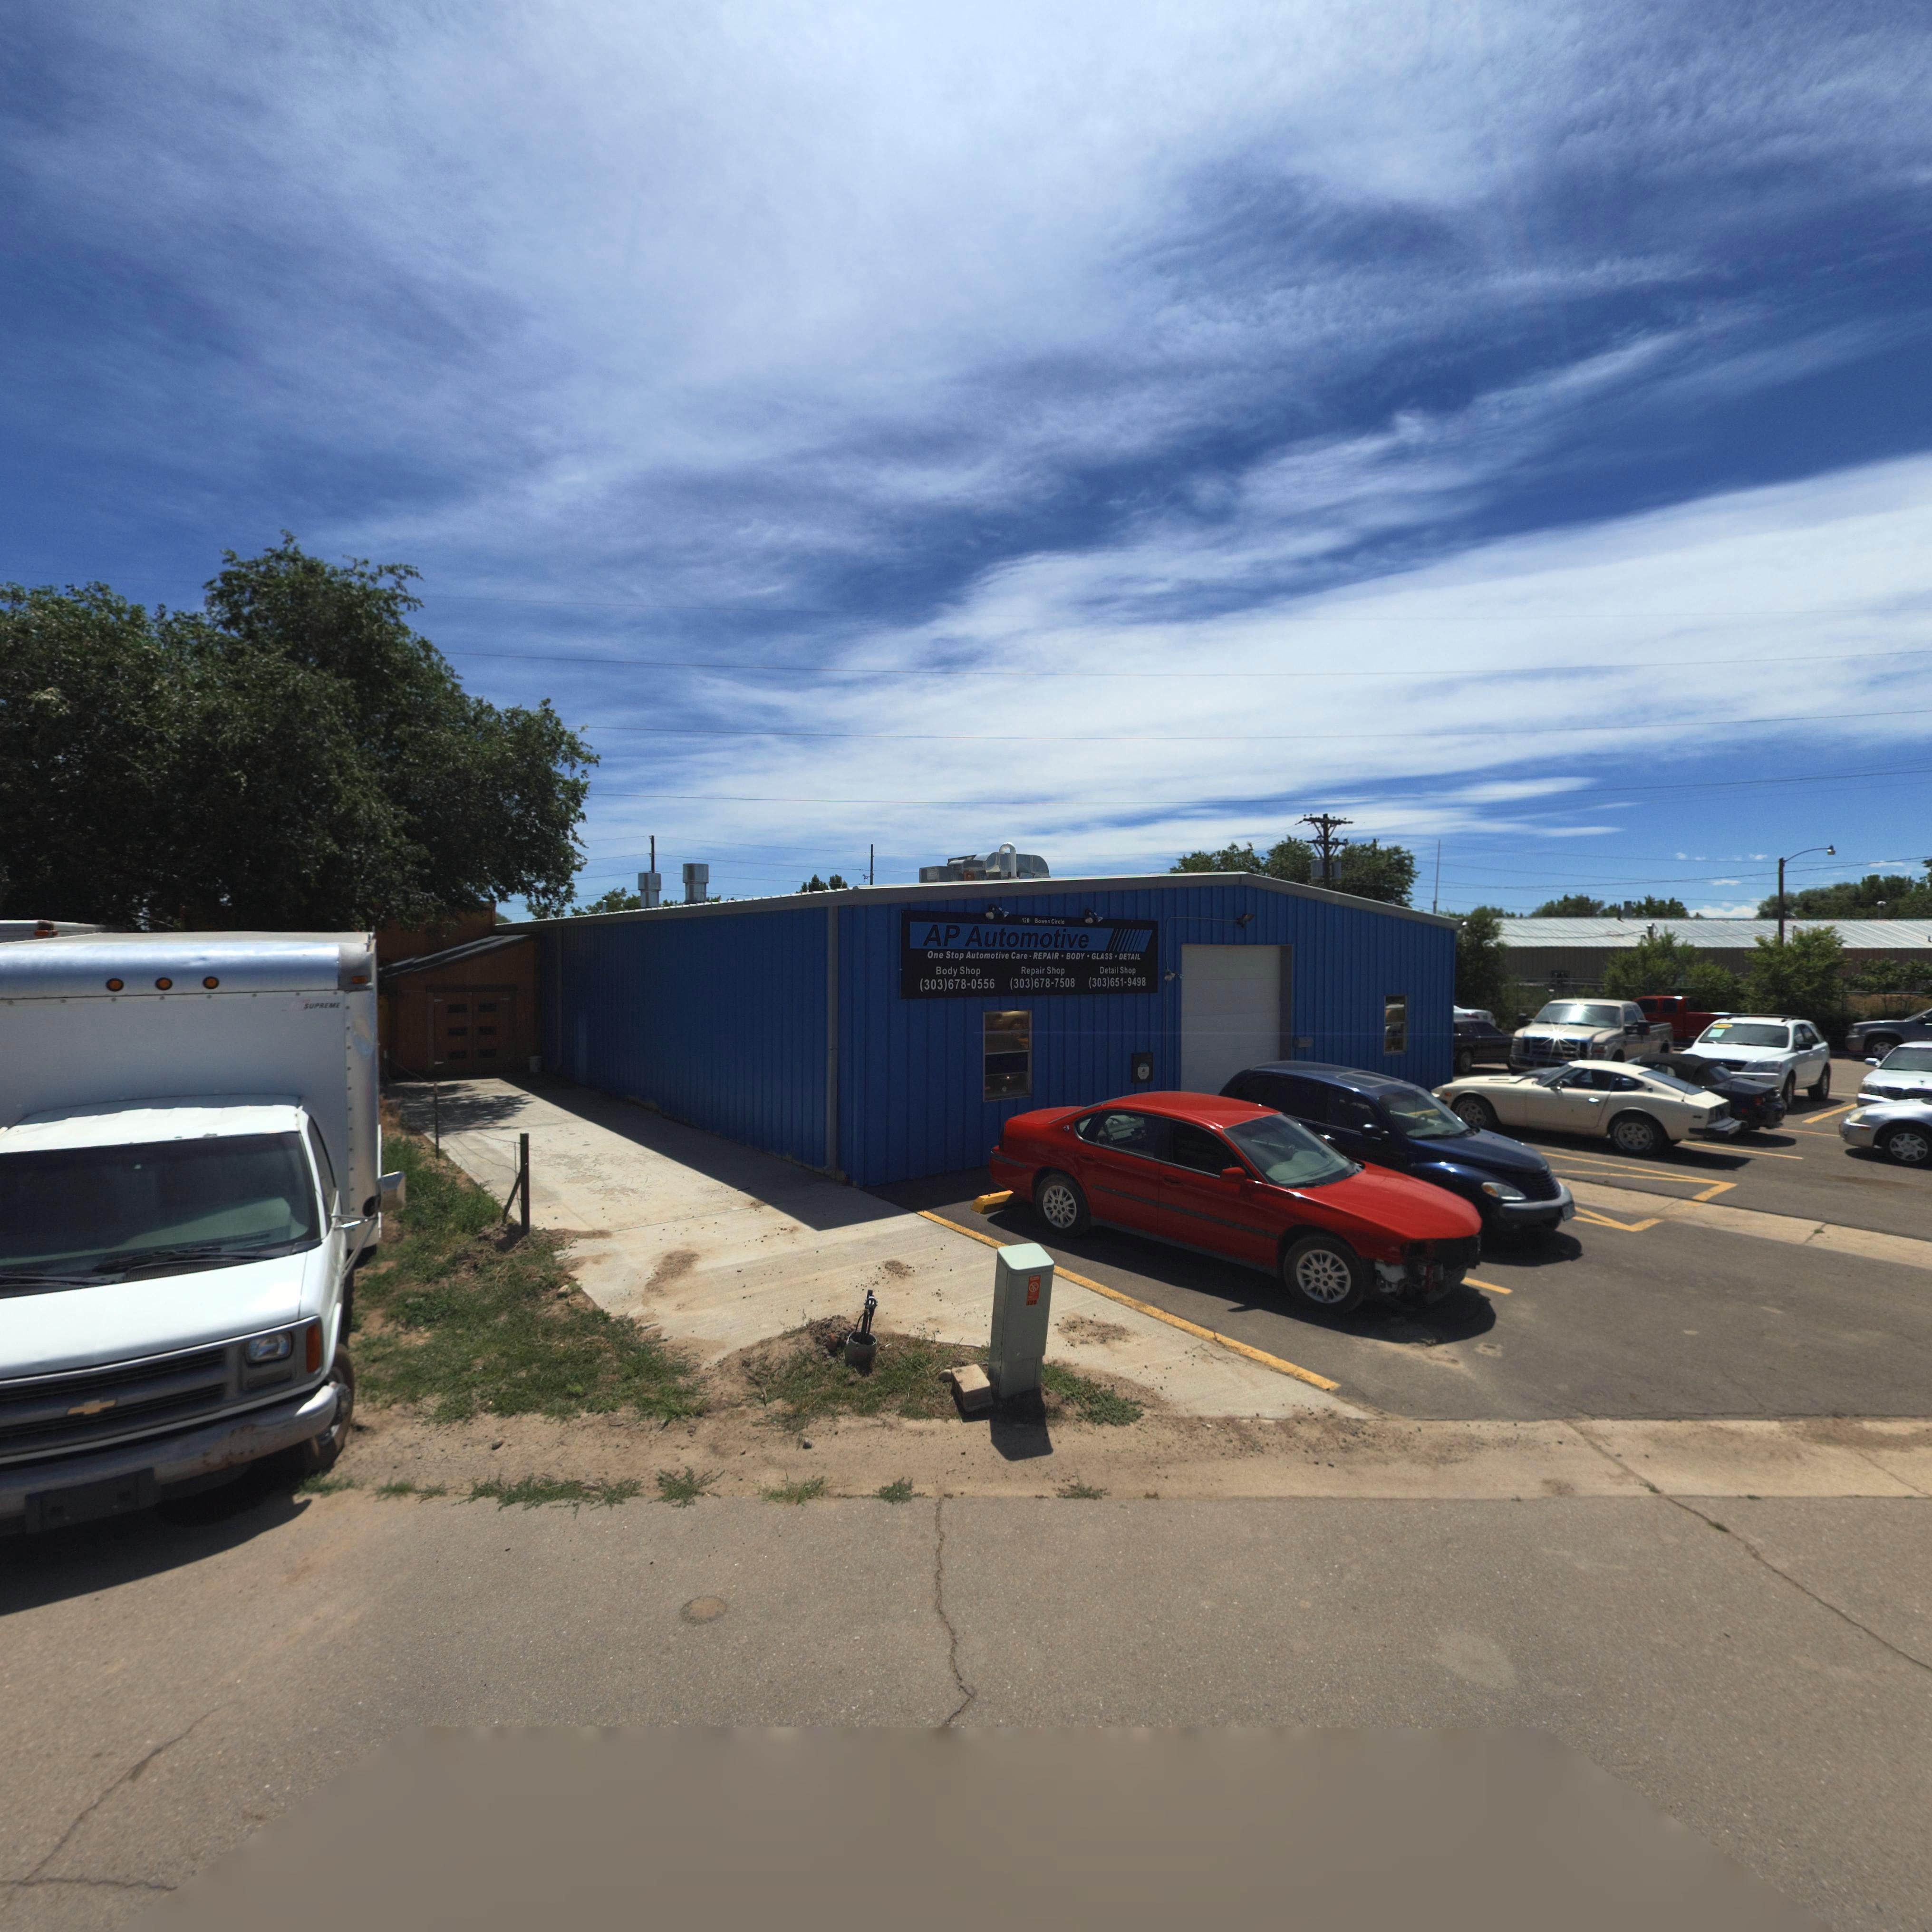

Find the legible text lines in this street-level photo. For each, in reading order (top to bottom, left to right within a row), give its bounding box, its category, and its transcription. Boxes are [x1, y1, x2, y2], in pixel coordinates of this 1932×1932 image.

[1021, 917, 1029, 923] StreetNumber: 120
[1034, 918, 1064, 924] StreetName: Bowen Circle
[921, 923, 1090, 949] BusinessName: AP Automotive